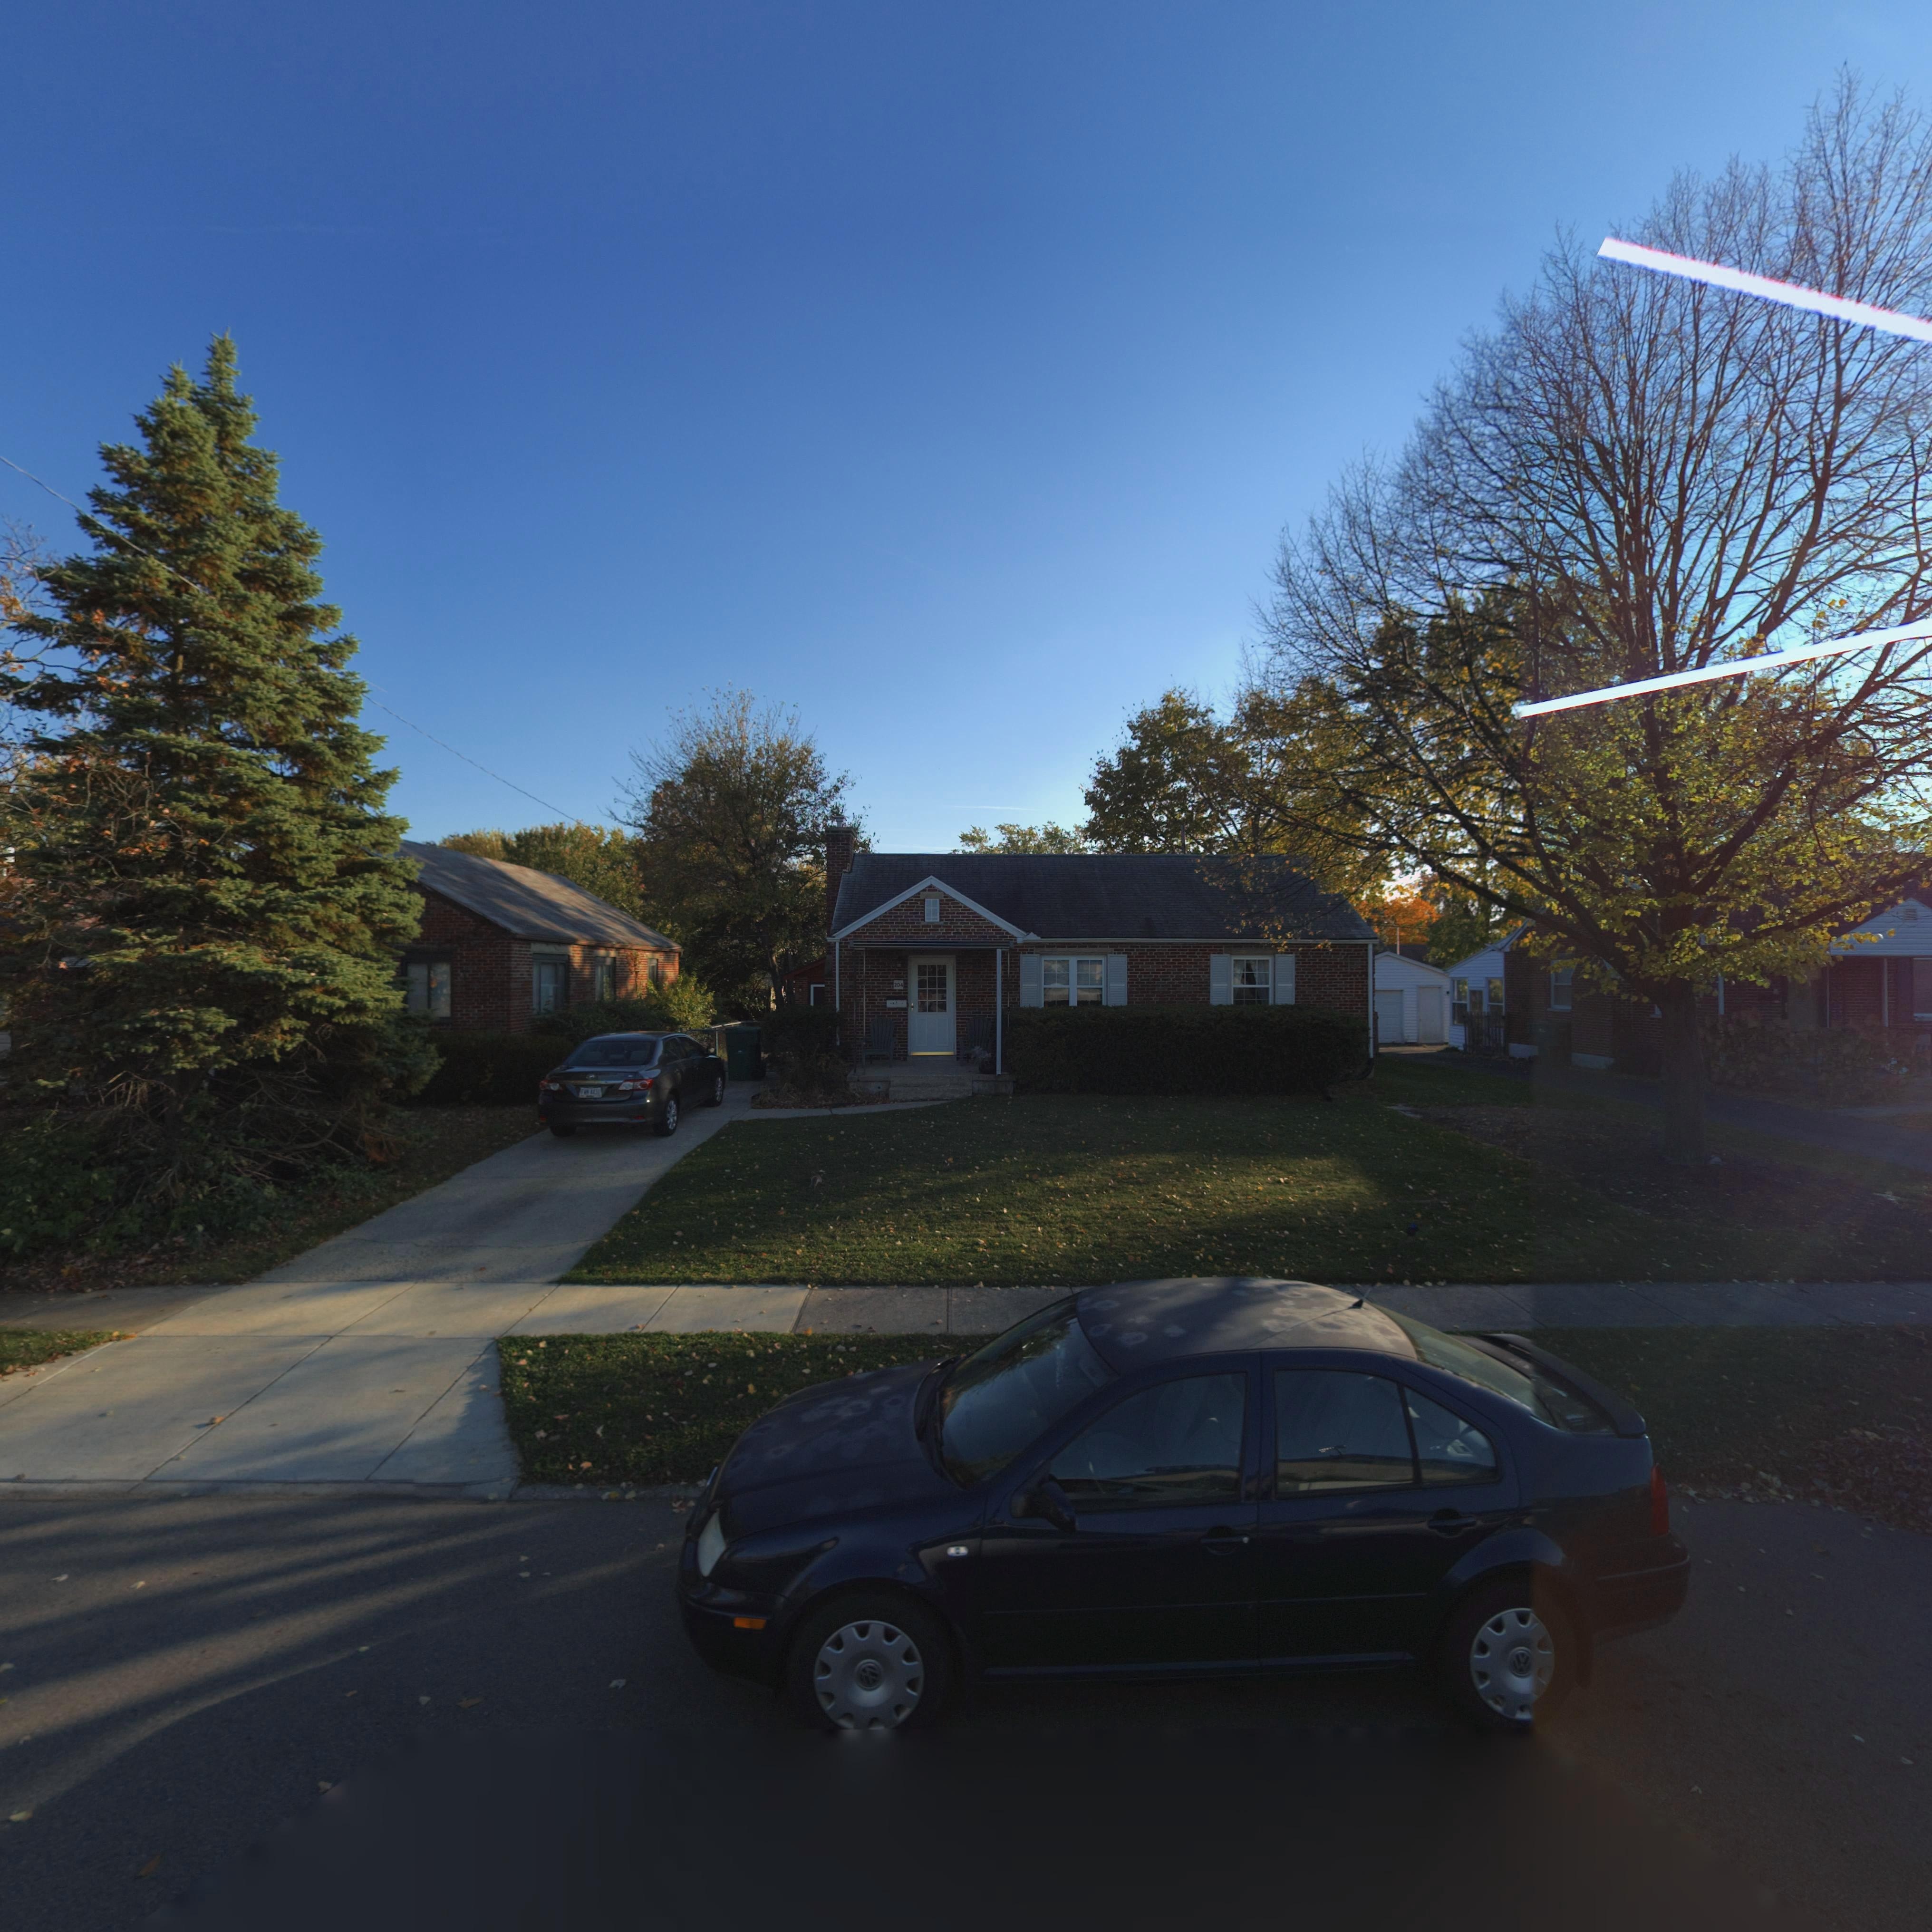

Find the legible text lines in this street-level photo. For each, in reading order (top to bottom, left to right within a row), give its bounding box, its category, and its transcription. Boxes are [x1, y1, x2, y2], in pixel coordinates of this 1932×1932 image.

[893, 982, 904, 988] StreetNumber: 204